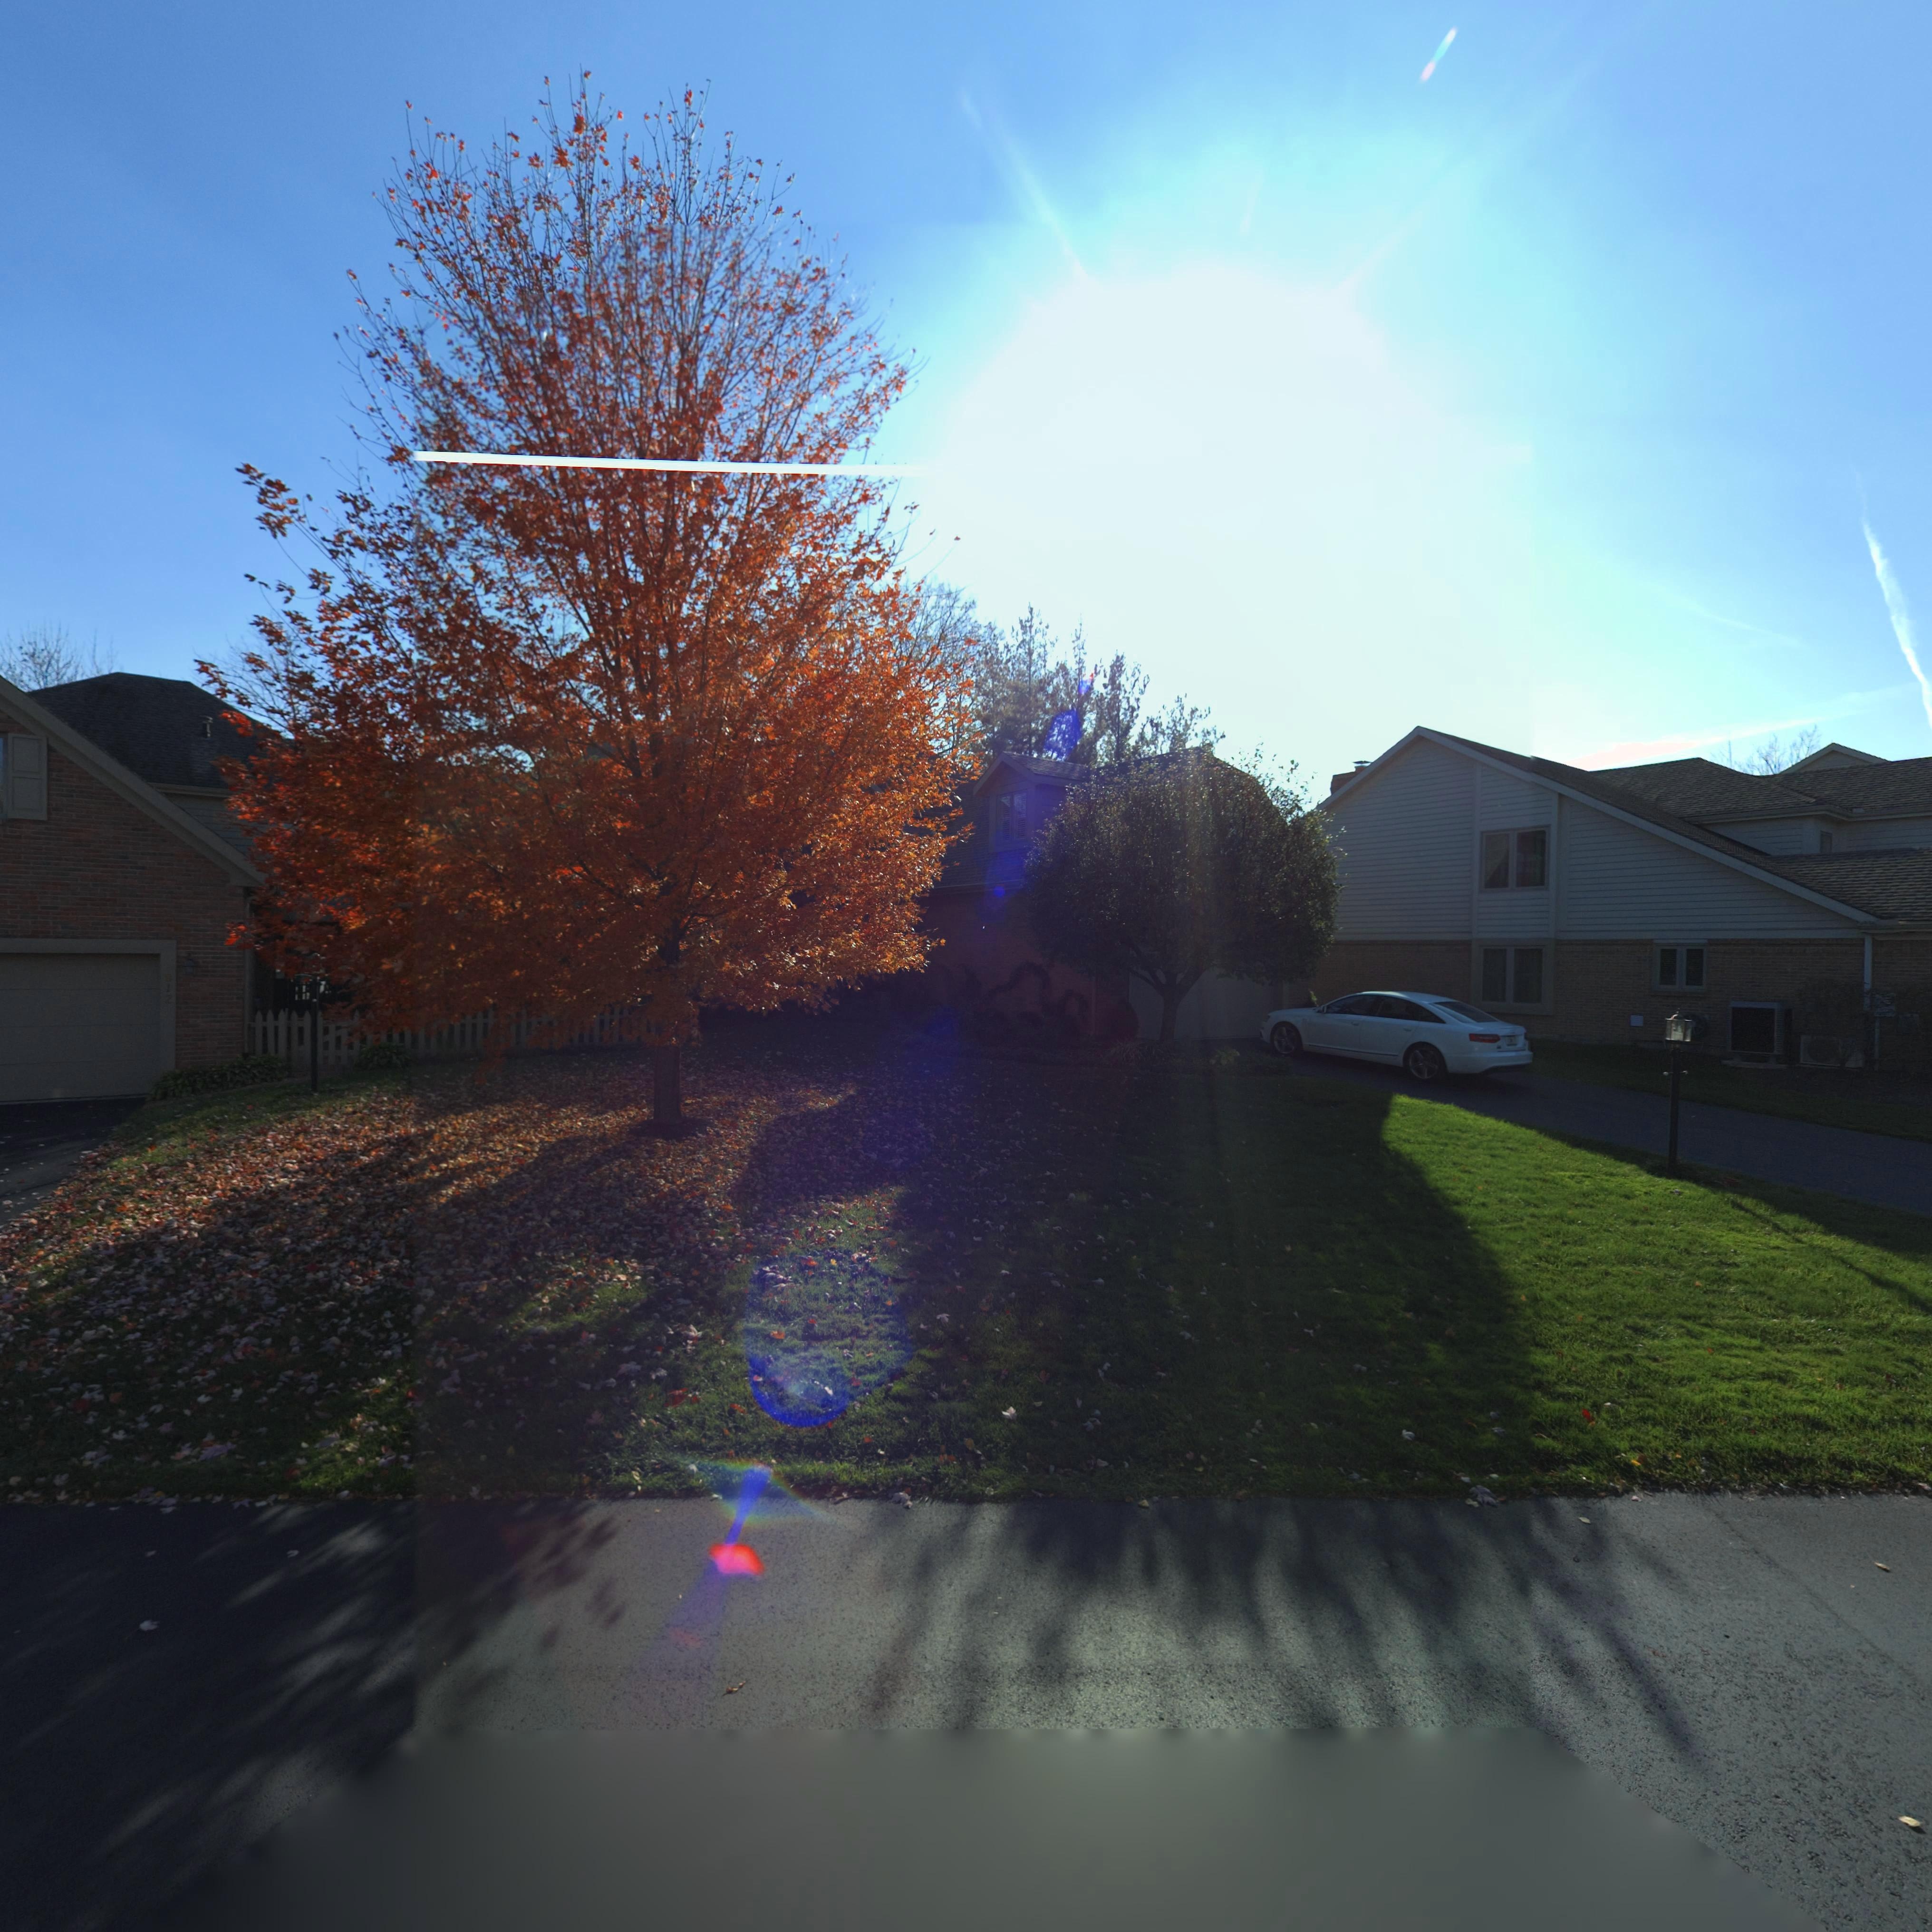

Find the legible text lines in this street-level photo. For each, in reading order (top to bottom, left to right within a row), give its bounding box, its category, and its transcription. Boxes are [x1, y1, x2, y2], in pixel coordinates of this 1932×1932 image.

[164, 972, 174, 1005] StreetNumber: *12